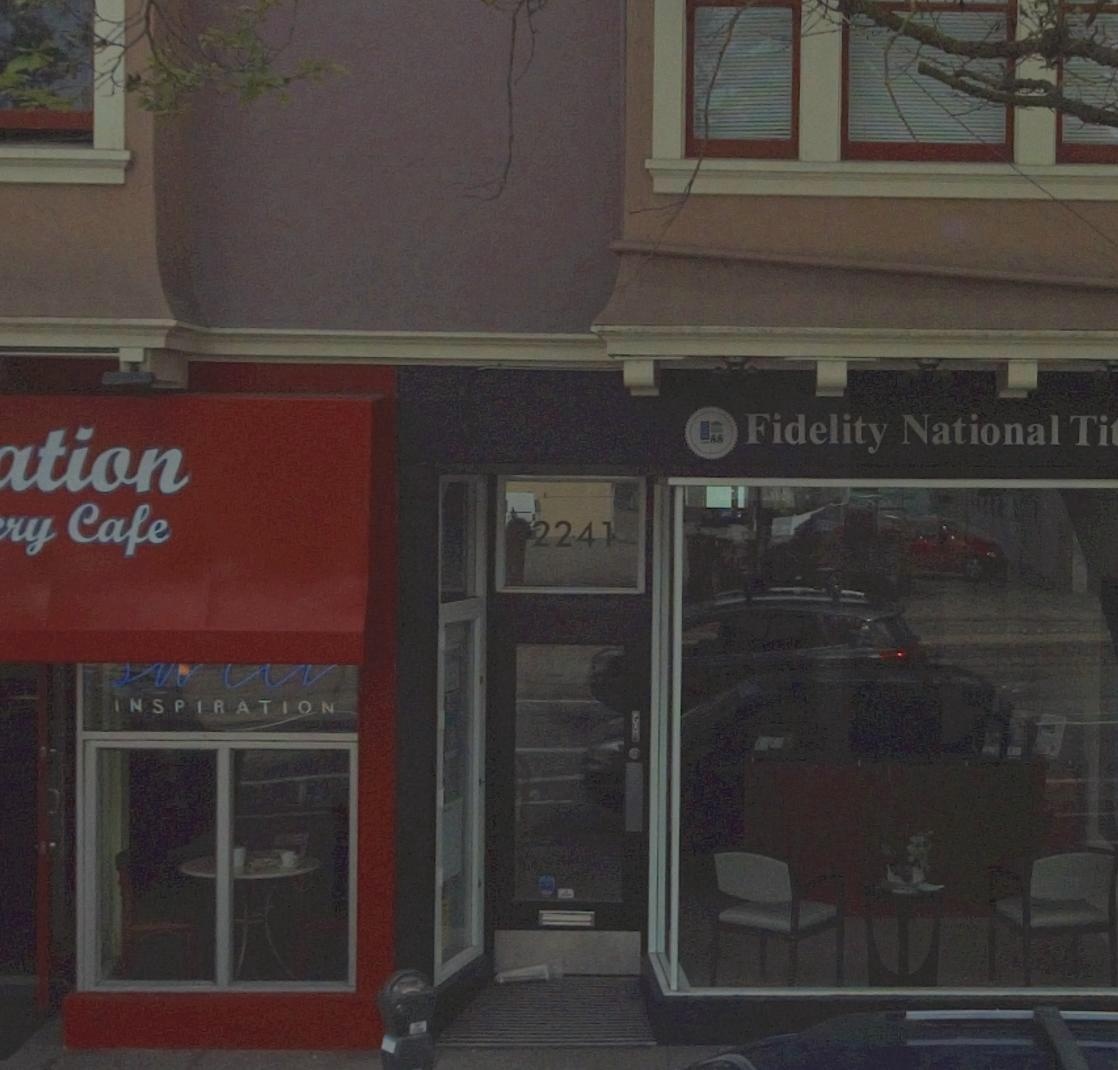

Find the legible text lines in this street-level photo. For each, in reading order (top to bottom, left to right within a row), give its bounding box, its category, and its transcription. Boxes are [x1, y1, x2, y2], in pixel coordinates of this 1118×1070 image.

[33, 421, 197, 497] BusinessName: tion
[743, 408, 1113, 459] BusinessName: Fidelity National Ti
[22, 499, 173, 560] BusinessName: y Cafe
[528, 518, 615, 550] StreetNumber: 2241
[112, 695, 337, 717] None: INSPIRATION